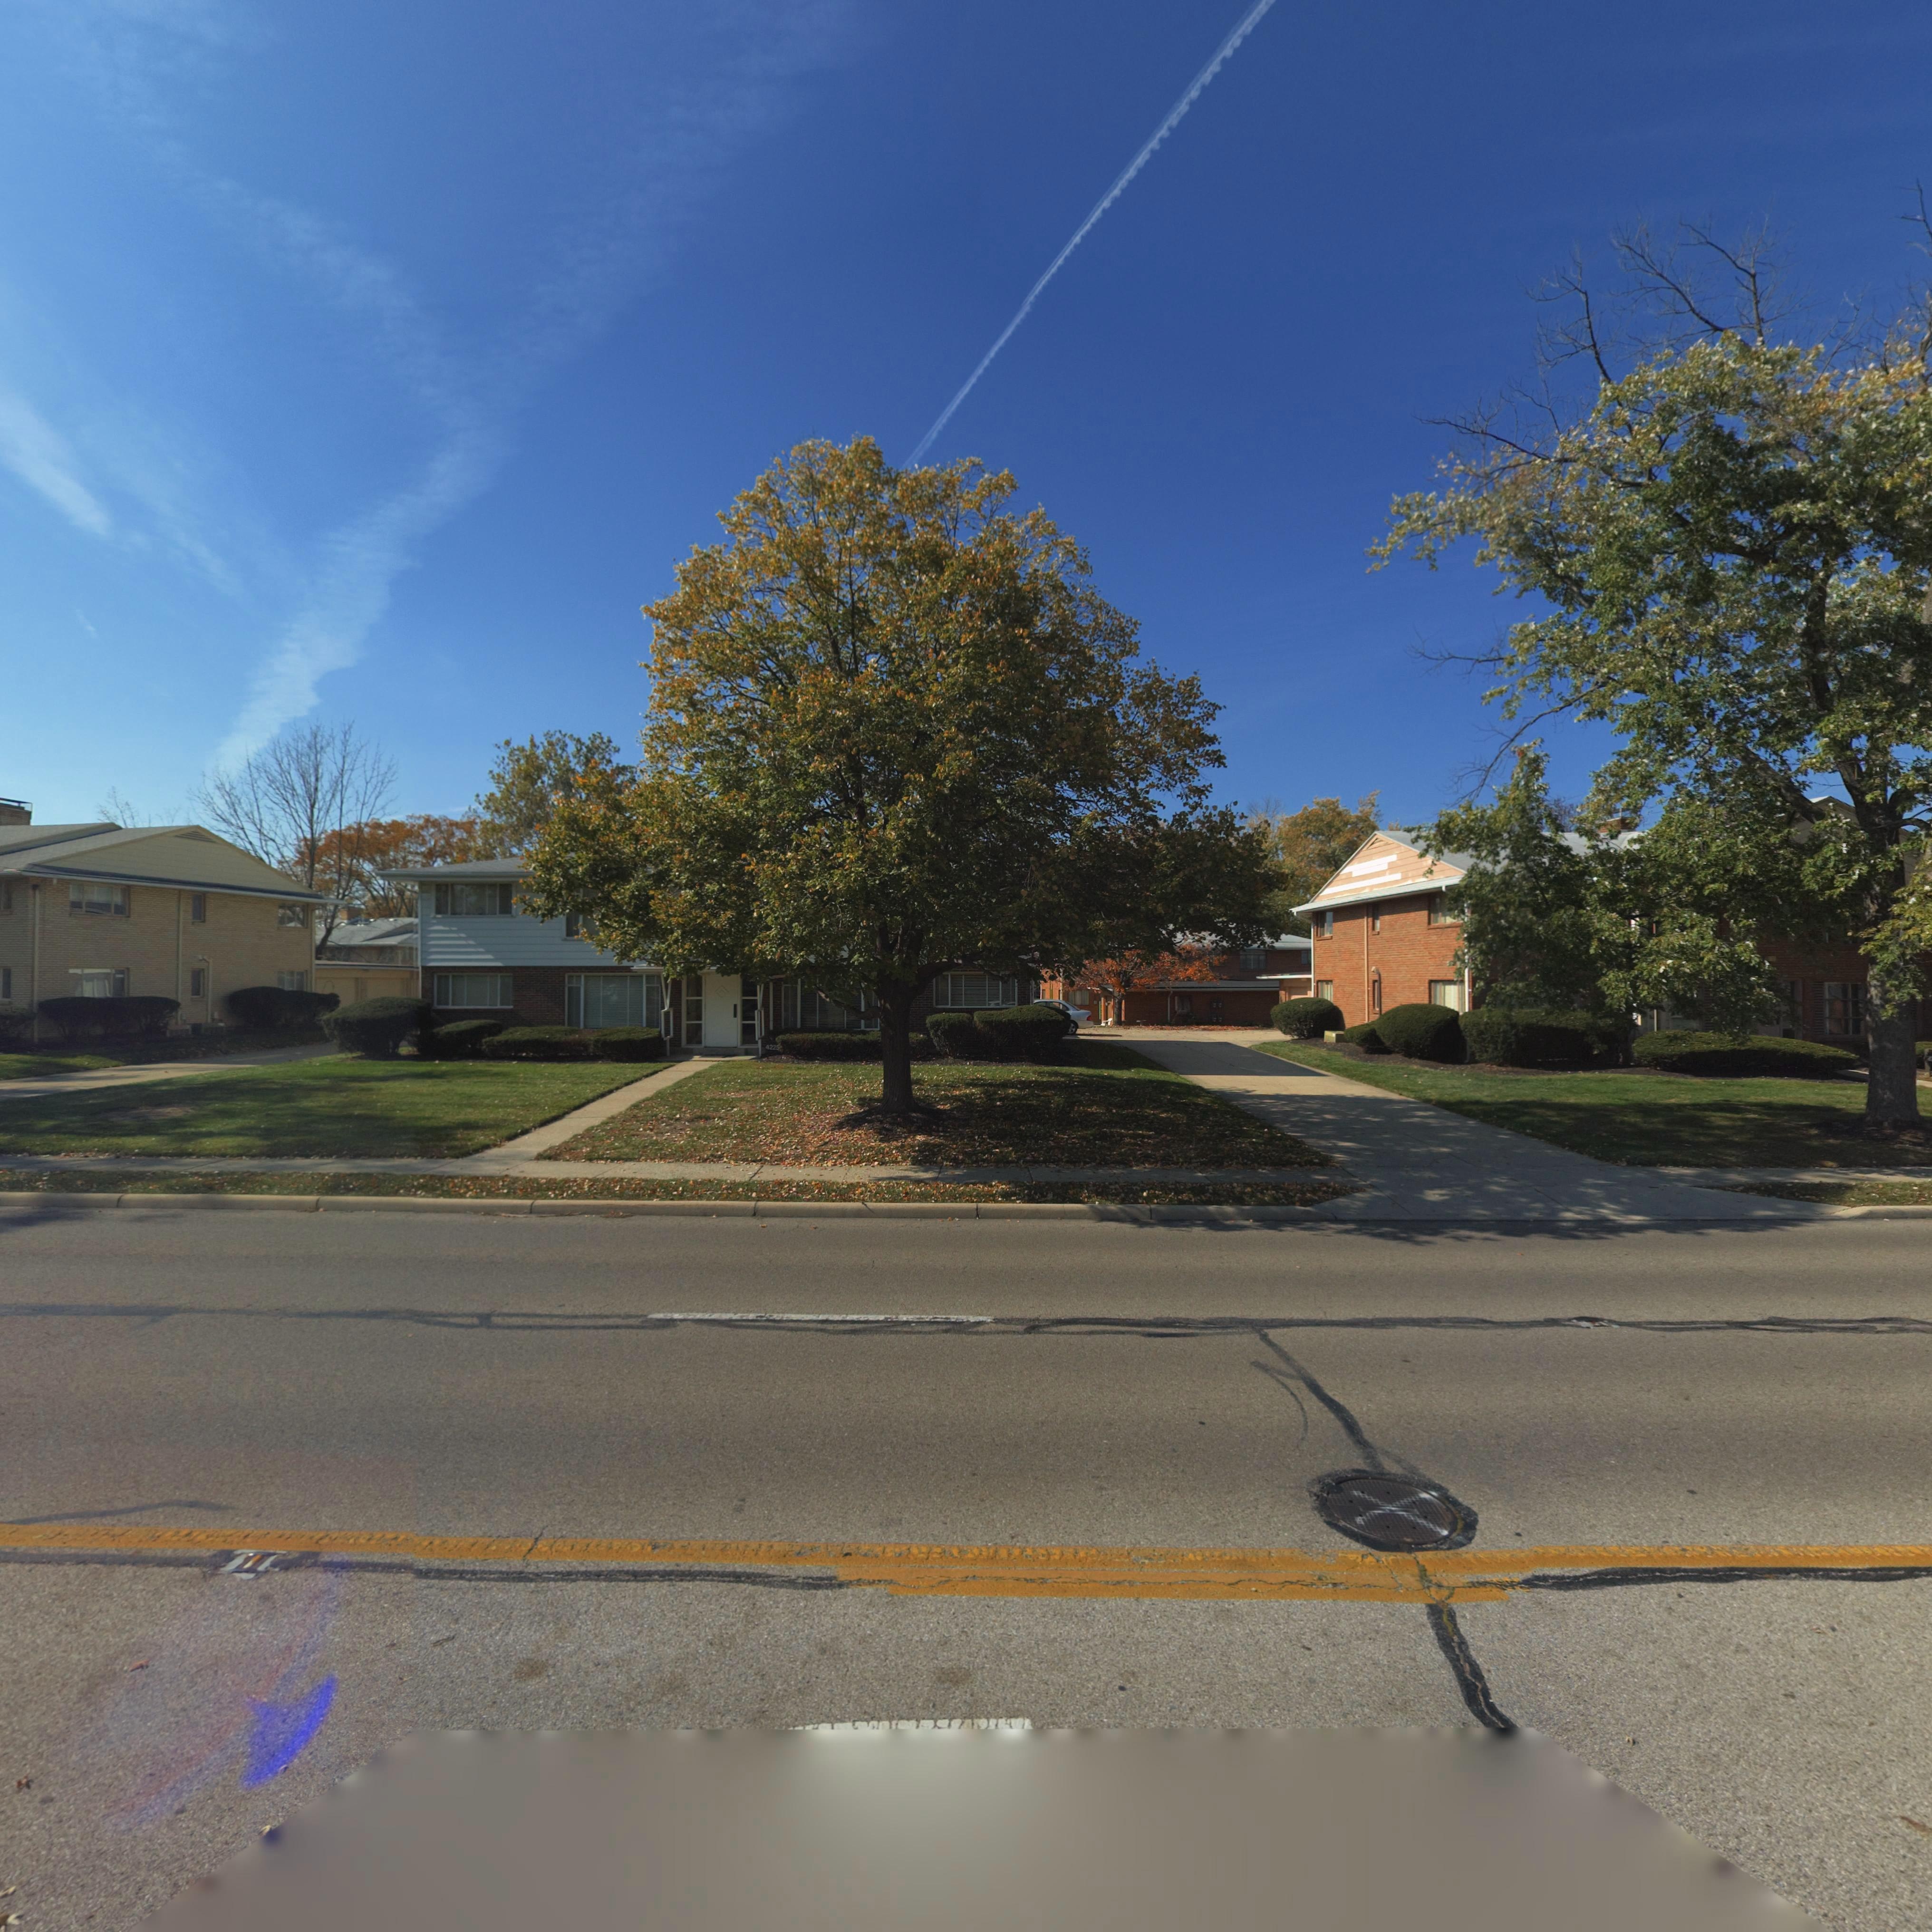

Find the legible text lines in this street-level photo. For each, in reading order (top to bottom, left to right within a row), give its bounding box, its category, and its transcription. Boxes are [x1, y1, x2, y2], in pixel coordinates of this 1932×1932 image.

[765, 1044, 780, 1051] StreetNumber: 4225